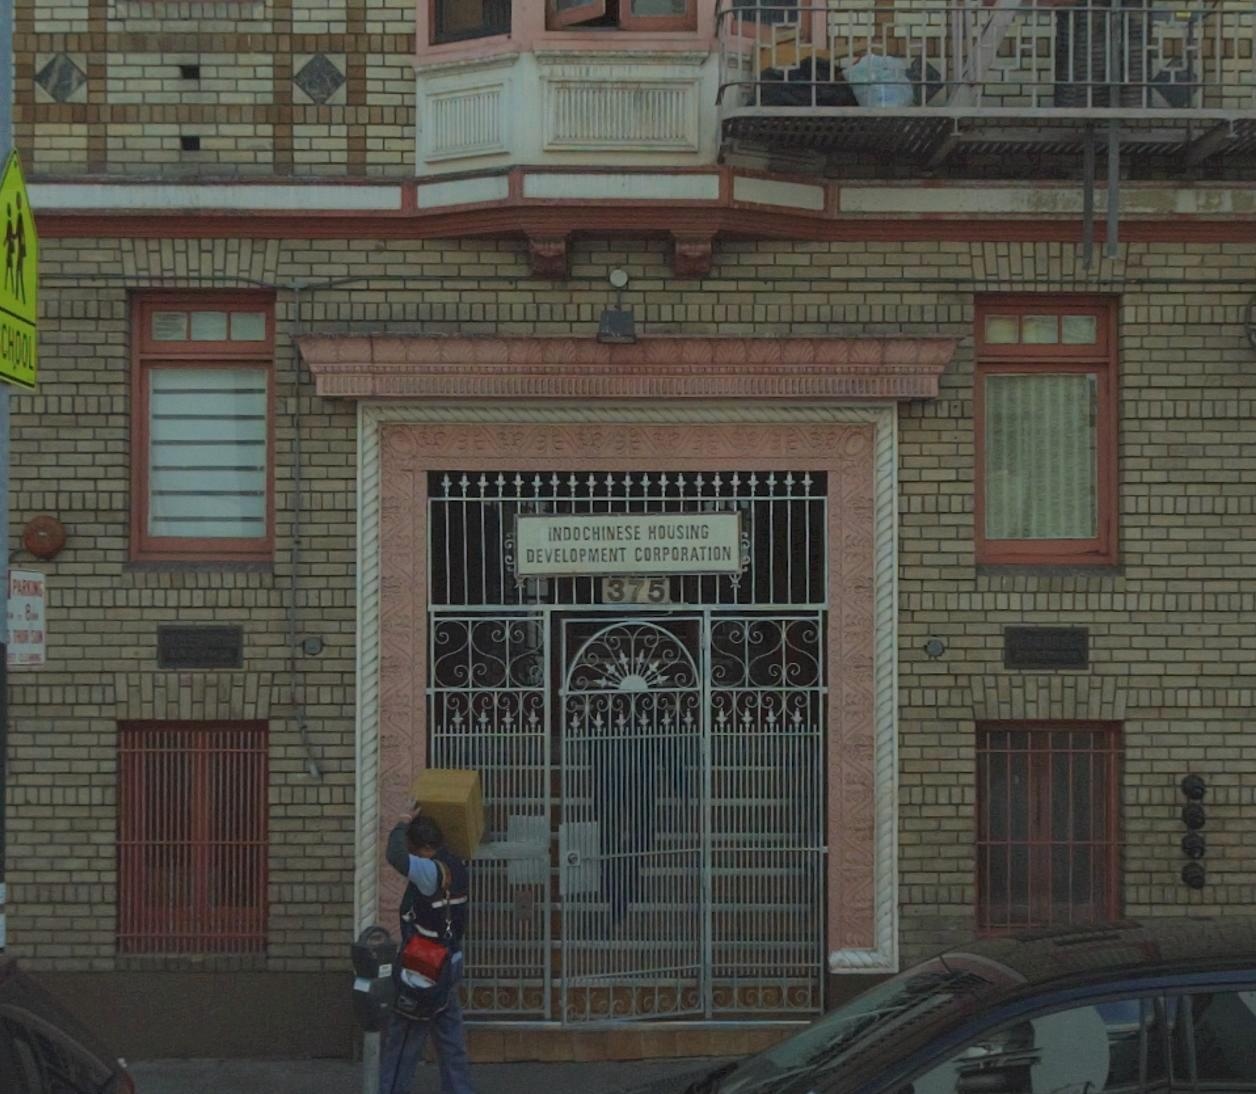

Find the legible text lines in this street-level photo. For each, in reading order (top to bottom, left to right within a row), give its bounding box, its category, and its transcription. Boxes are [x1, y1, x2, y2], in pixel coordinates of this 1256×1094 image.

[0, 319, 37, 374] None: CHOOL
[545, 521, 712, 544] BusinessName: INDOCHINESE HOUSING
[523, 542, 735, 567] BusinessName: DEVELOPMENT CORPORSATION
[10, 577, 25, 598] None: PA
[605, 576, 669, 604] StreetNumber: 375
[23, 601, 34, 625] None: 8